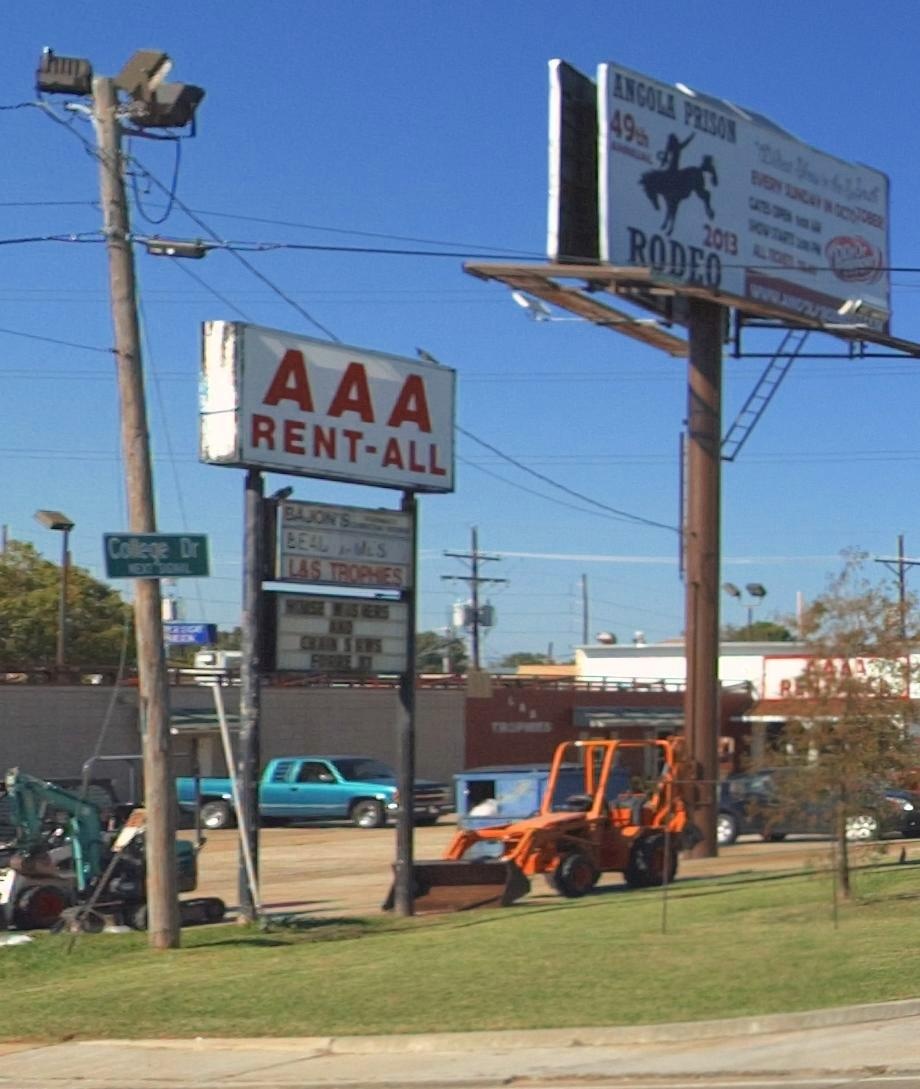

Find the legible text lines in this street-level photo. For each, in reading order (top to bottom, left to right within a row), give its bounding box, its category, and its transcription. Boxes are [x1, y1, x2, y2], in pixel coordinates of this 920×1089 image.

[605, 106, 640, 147] None: 49
[610, 67, 739, 149] None: ANGOLA PRISON
[624, 222, 724, 294] None: RODEO
[700, 218, 740, 260] None: 2013
[258, 346, 436, 436] BusinessName: AAA
[249, 410, 449, 479] None: RENT-ALL
[282, 503, 352, 530] BusinessName: BAJON'S
[105, 534, 203, 565] StreetName: College Dr
[126, 560, 194, 576] None: NEXT SIGNAL
[287, 555, 406, 588] None: LAS TROPHIES
[777, 676, 796, 699] None: R